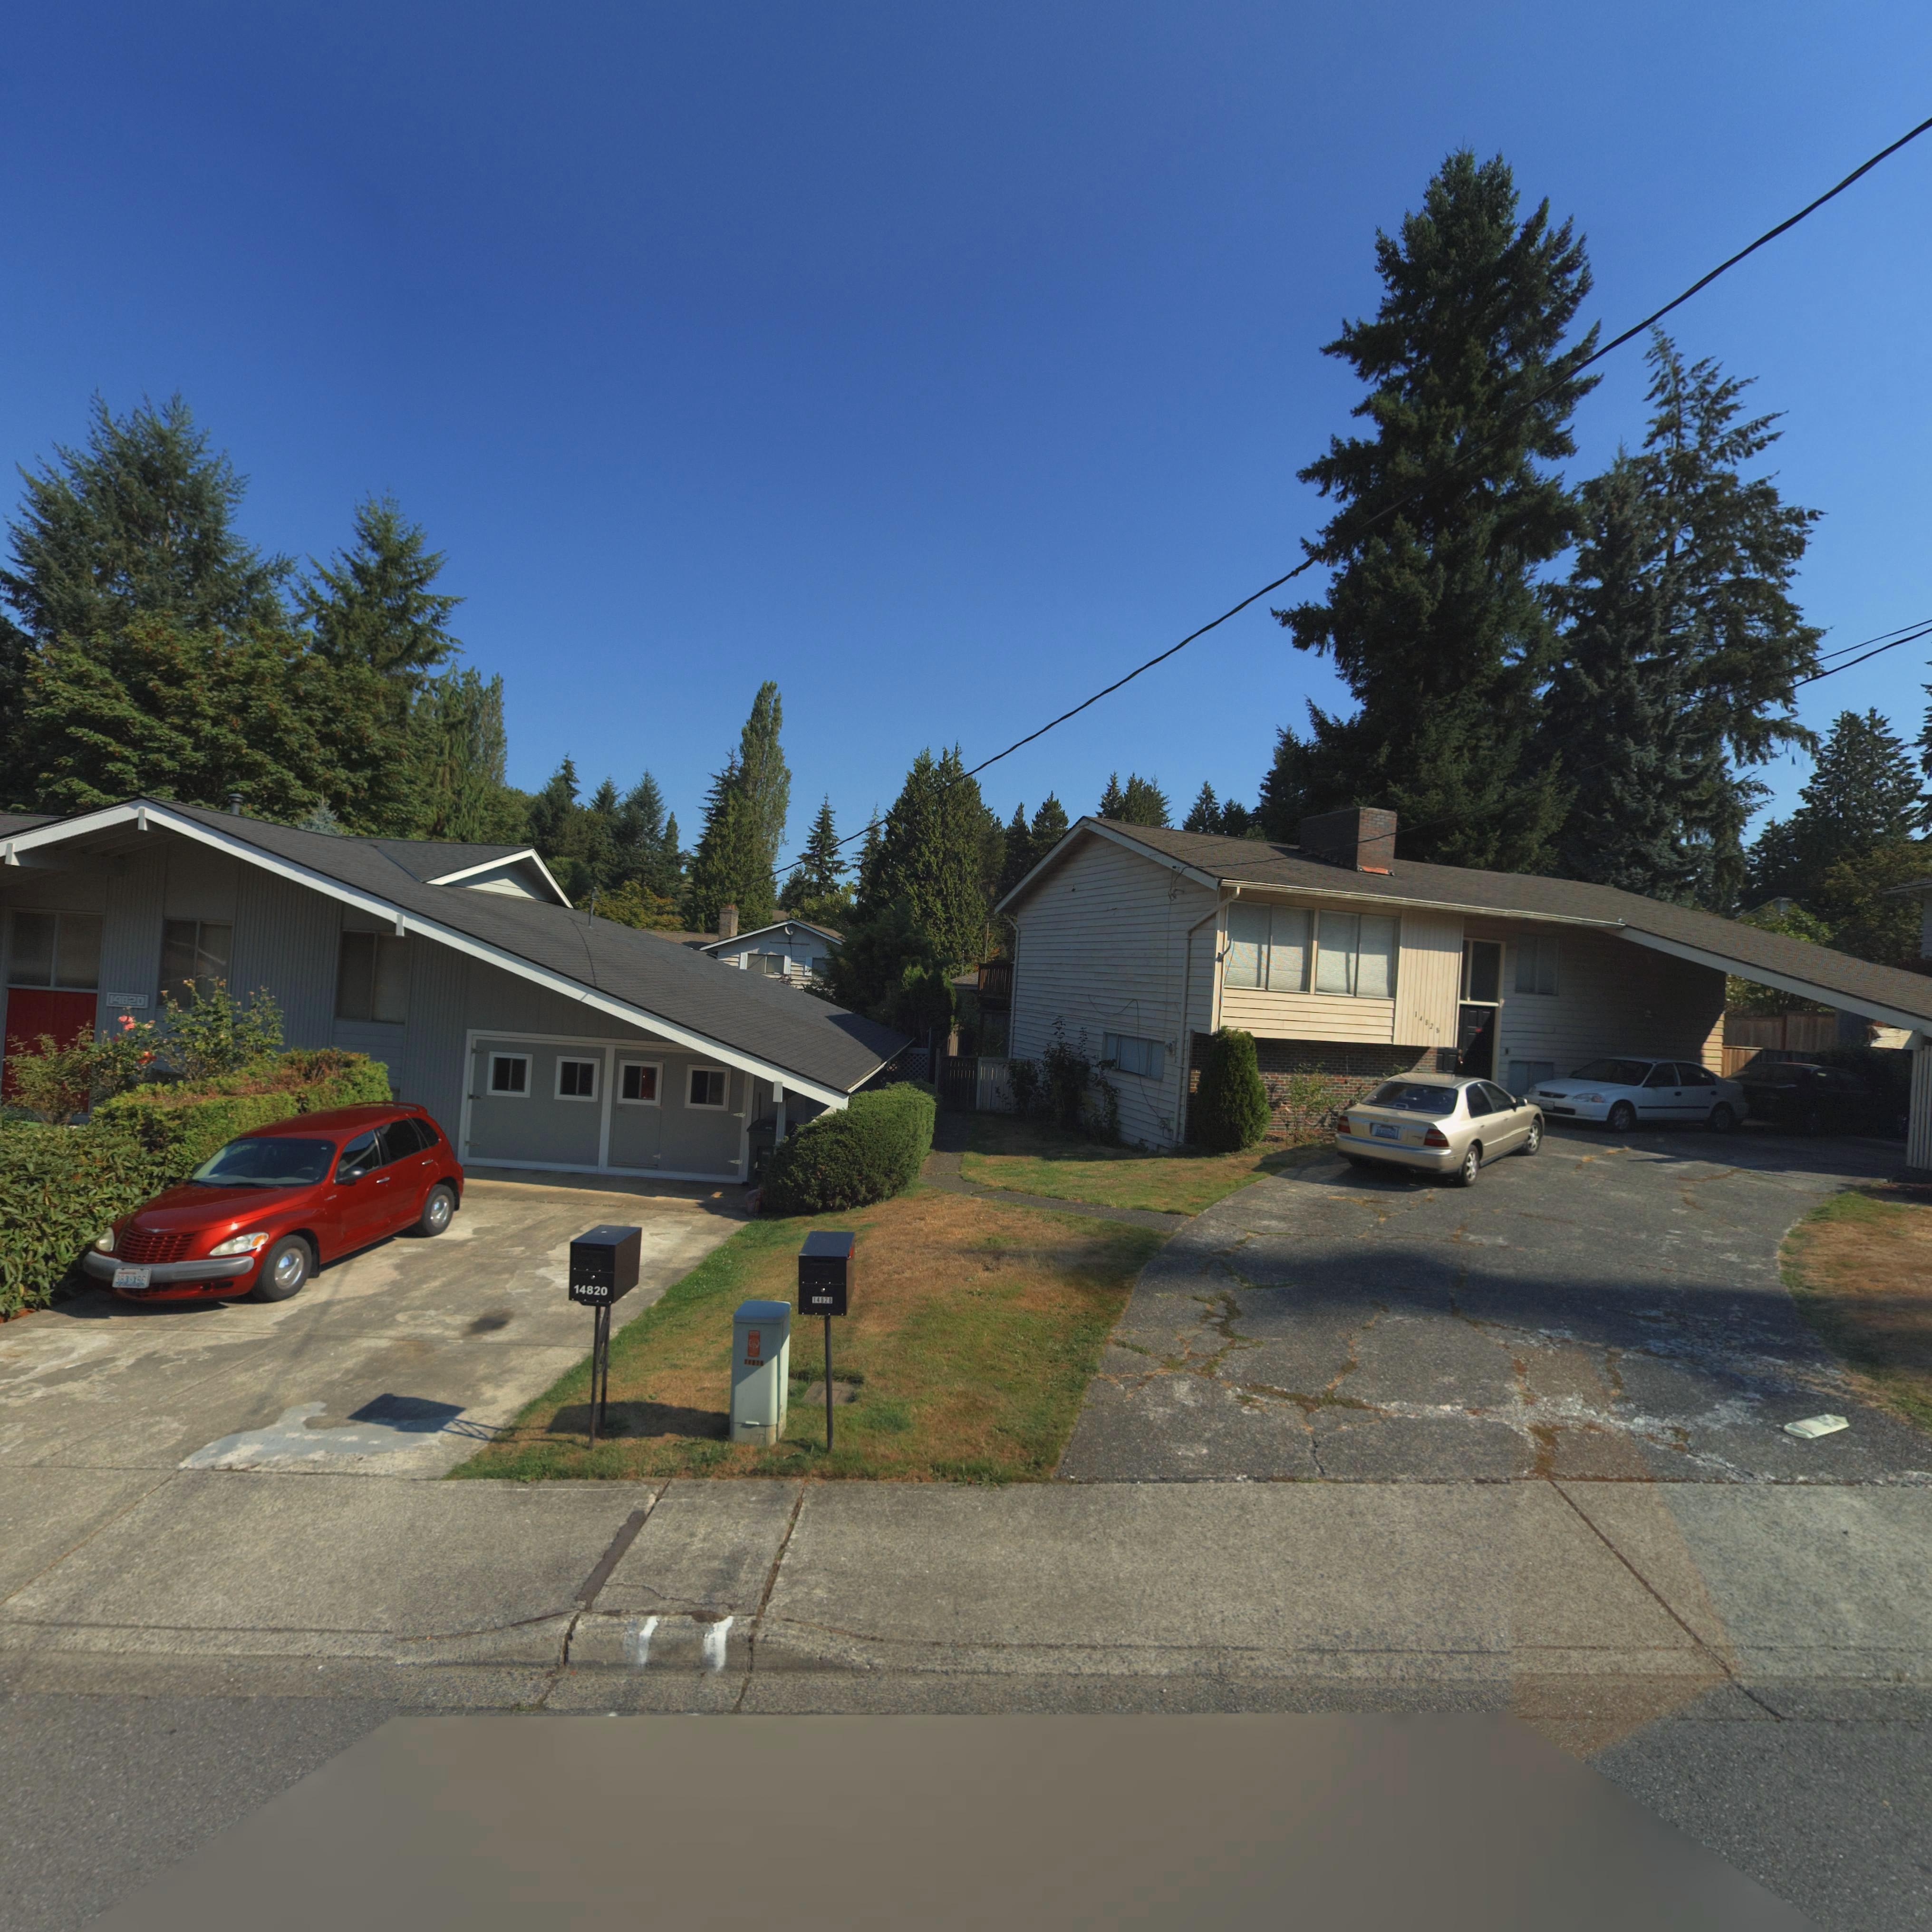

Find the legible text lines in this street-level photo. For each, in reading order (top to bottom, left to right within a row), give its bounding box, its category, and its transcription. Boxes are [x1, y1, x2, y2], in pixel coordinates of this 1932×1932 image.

[108, 994, 145, 1006] StreetNumber: 14820
[1414, 1010, 1440, 1034] StreetNumber: 14828
[574, 1285, 608, 1295] StreetNumber: 14820
[811, 1297, 833, 1304] StreetNumber: 14828